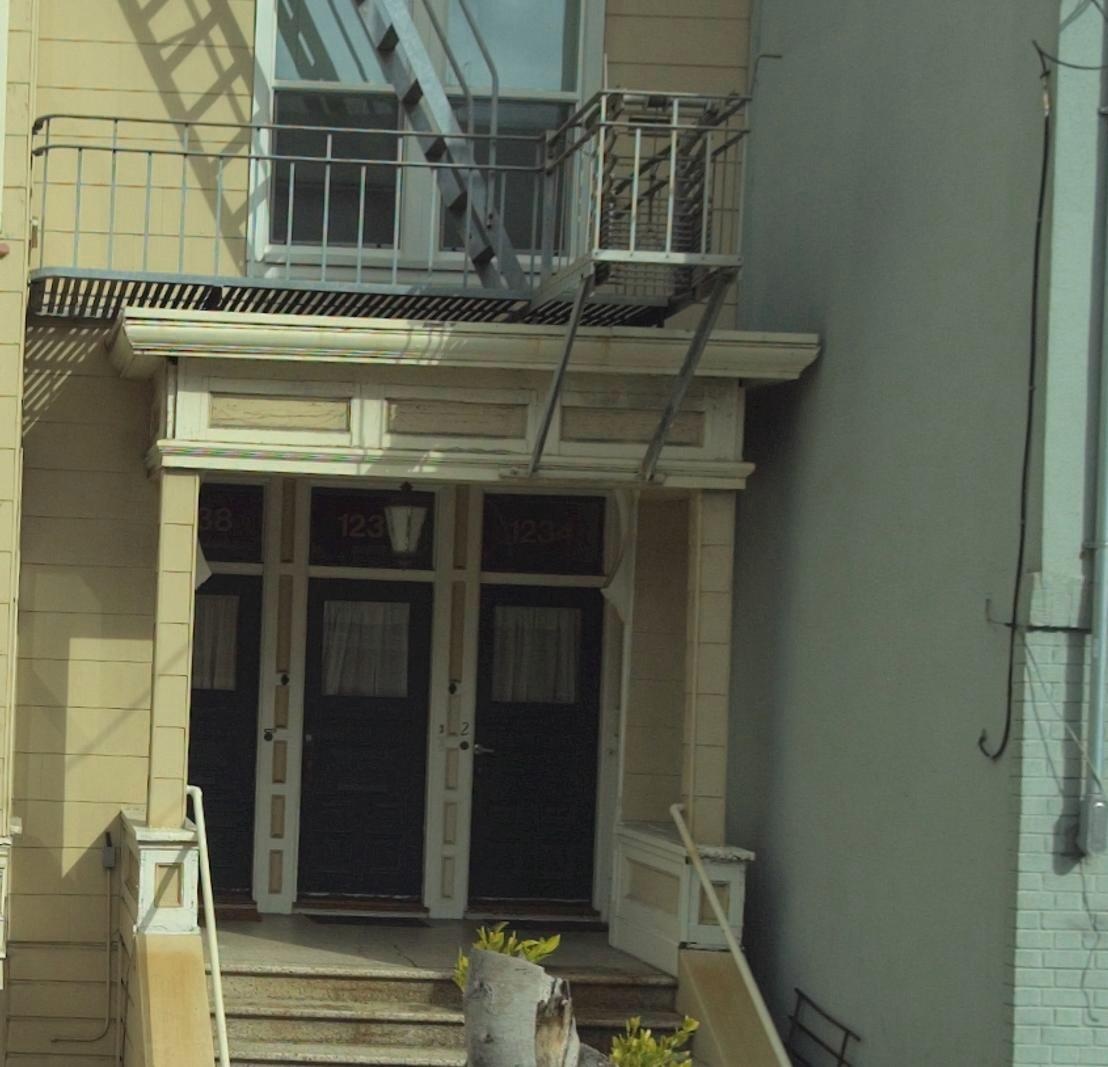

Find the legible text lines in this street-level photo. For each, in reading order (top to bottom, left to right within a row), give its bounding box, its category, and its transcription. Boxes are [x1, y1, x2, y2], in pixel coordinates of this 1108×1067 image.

[196, 505, 234, 535] StreetNumber: 38
[335, 511, 386, 540] StreetNumber: 123
[508, 518, 574, 546] StreetNumber: 1234
[459, 720, 471, 737] None: 2